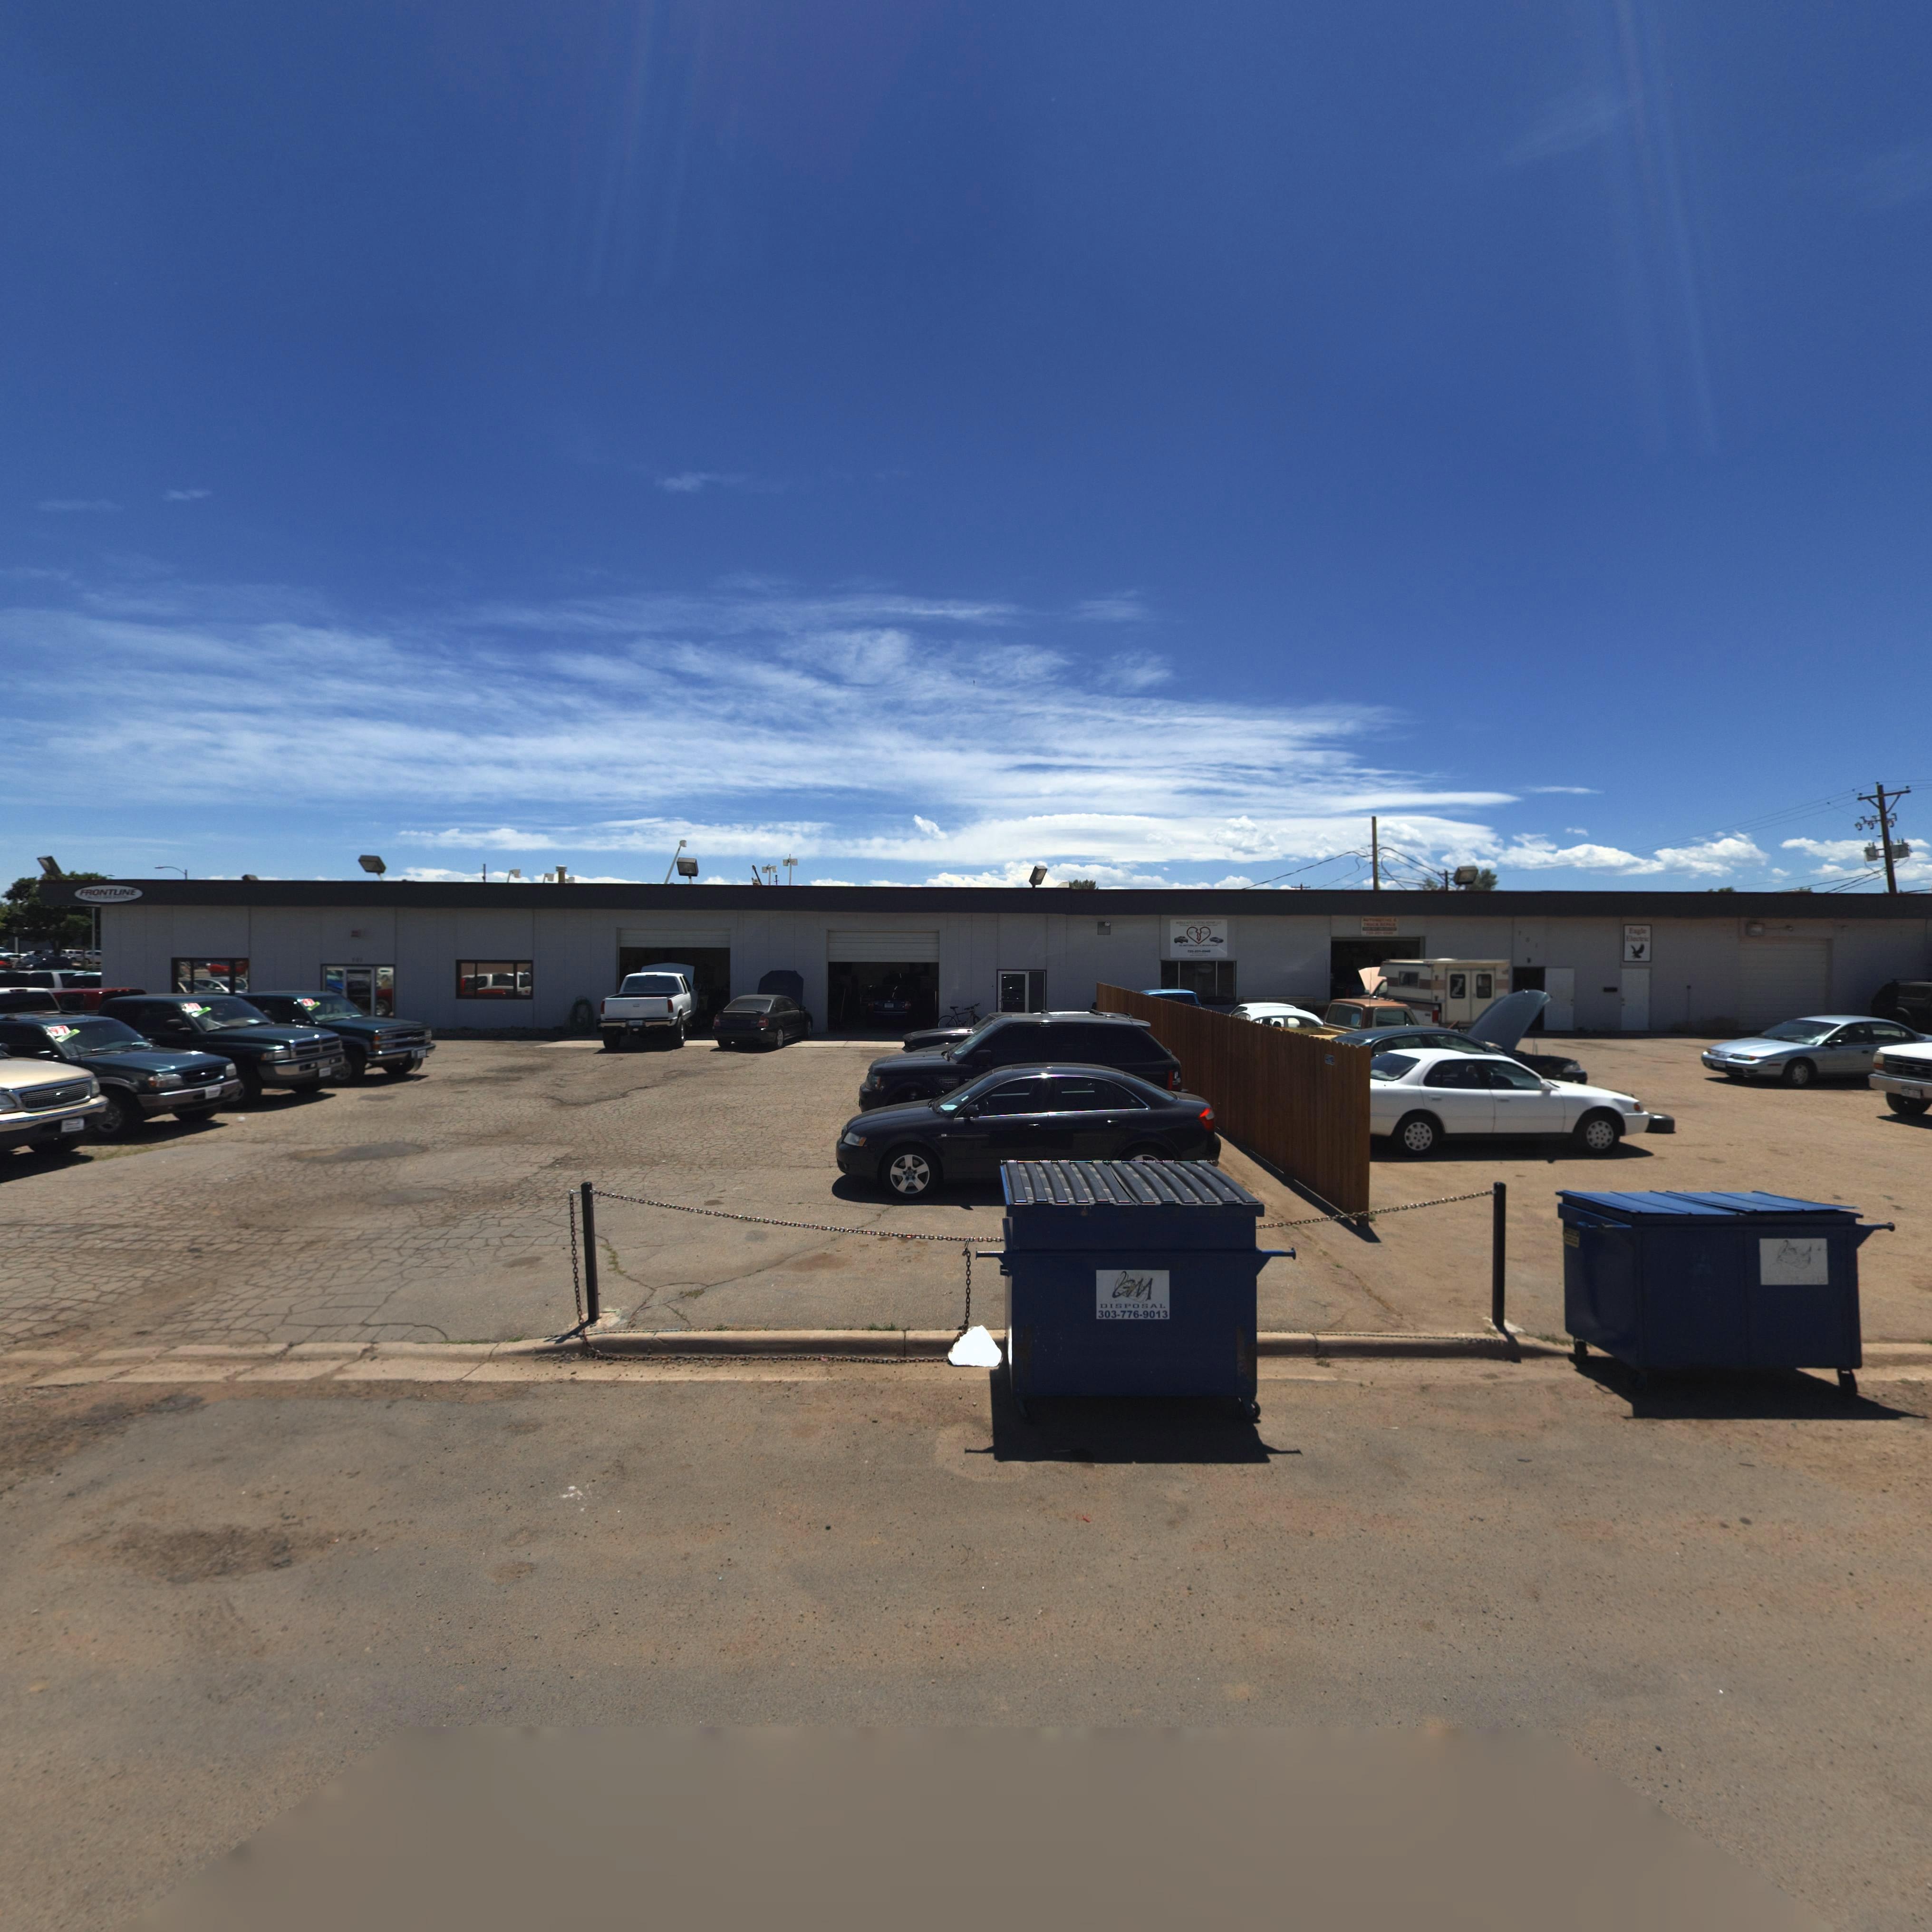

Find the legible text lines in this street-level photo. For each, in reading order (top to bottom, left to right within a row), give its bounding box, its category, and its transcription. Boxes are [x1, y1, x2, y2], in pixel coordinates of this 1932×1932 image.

[78, 888, 137, 896] BusinessName: FRONTLINE
[1628, 927, 1646, 935] BusinessName: Eagle
[1626, 935, 1649, 941] BusinessName: Elecric
[349, 956, 363, 963] StreetNumber: **1